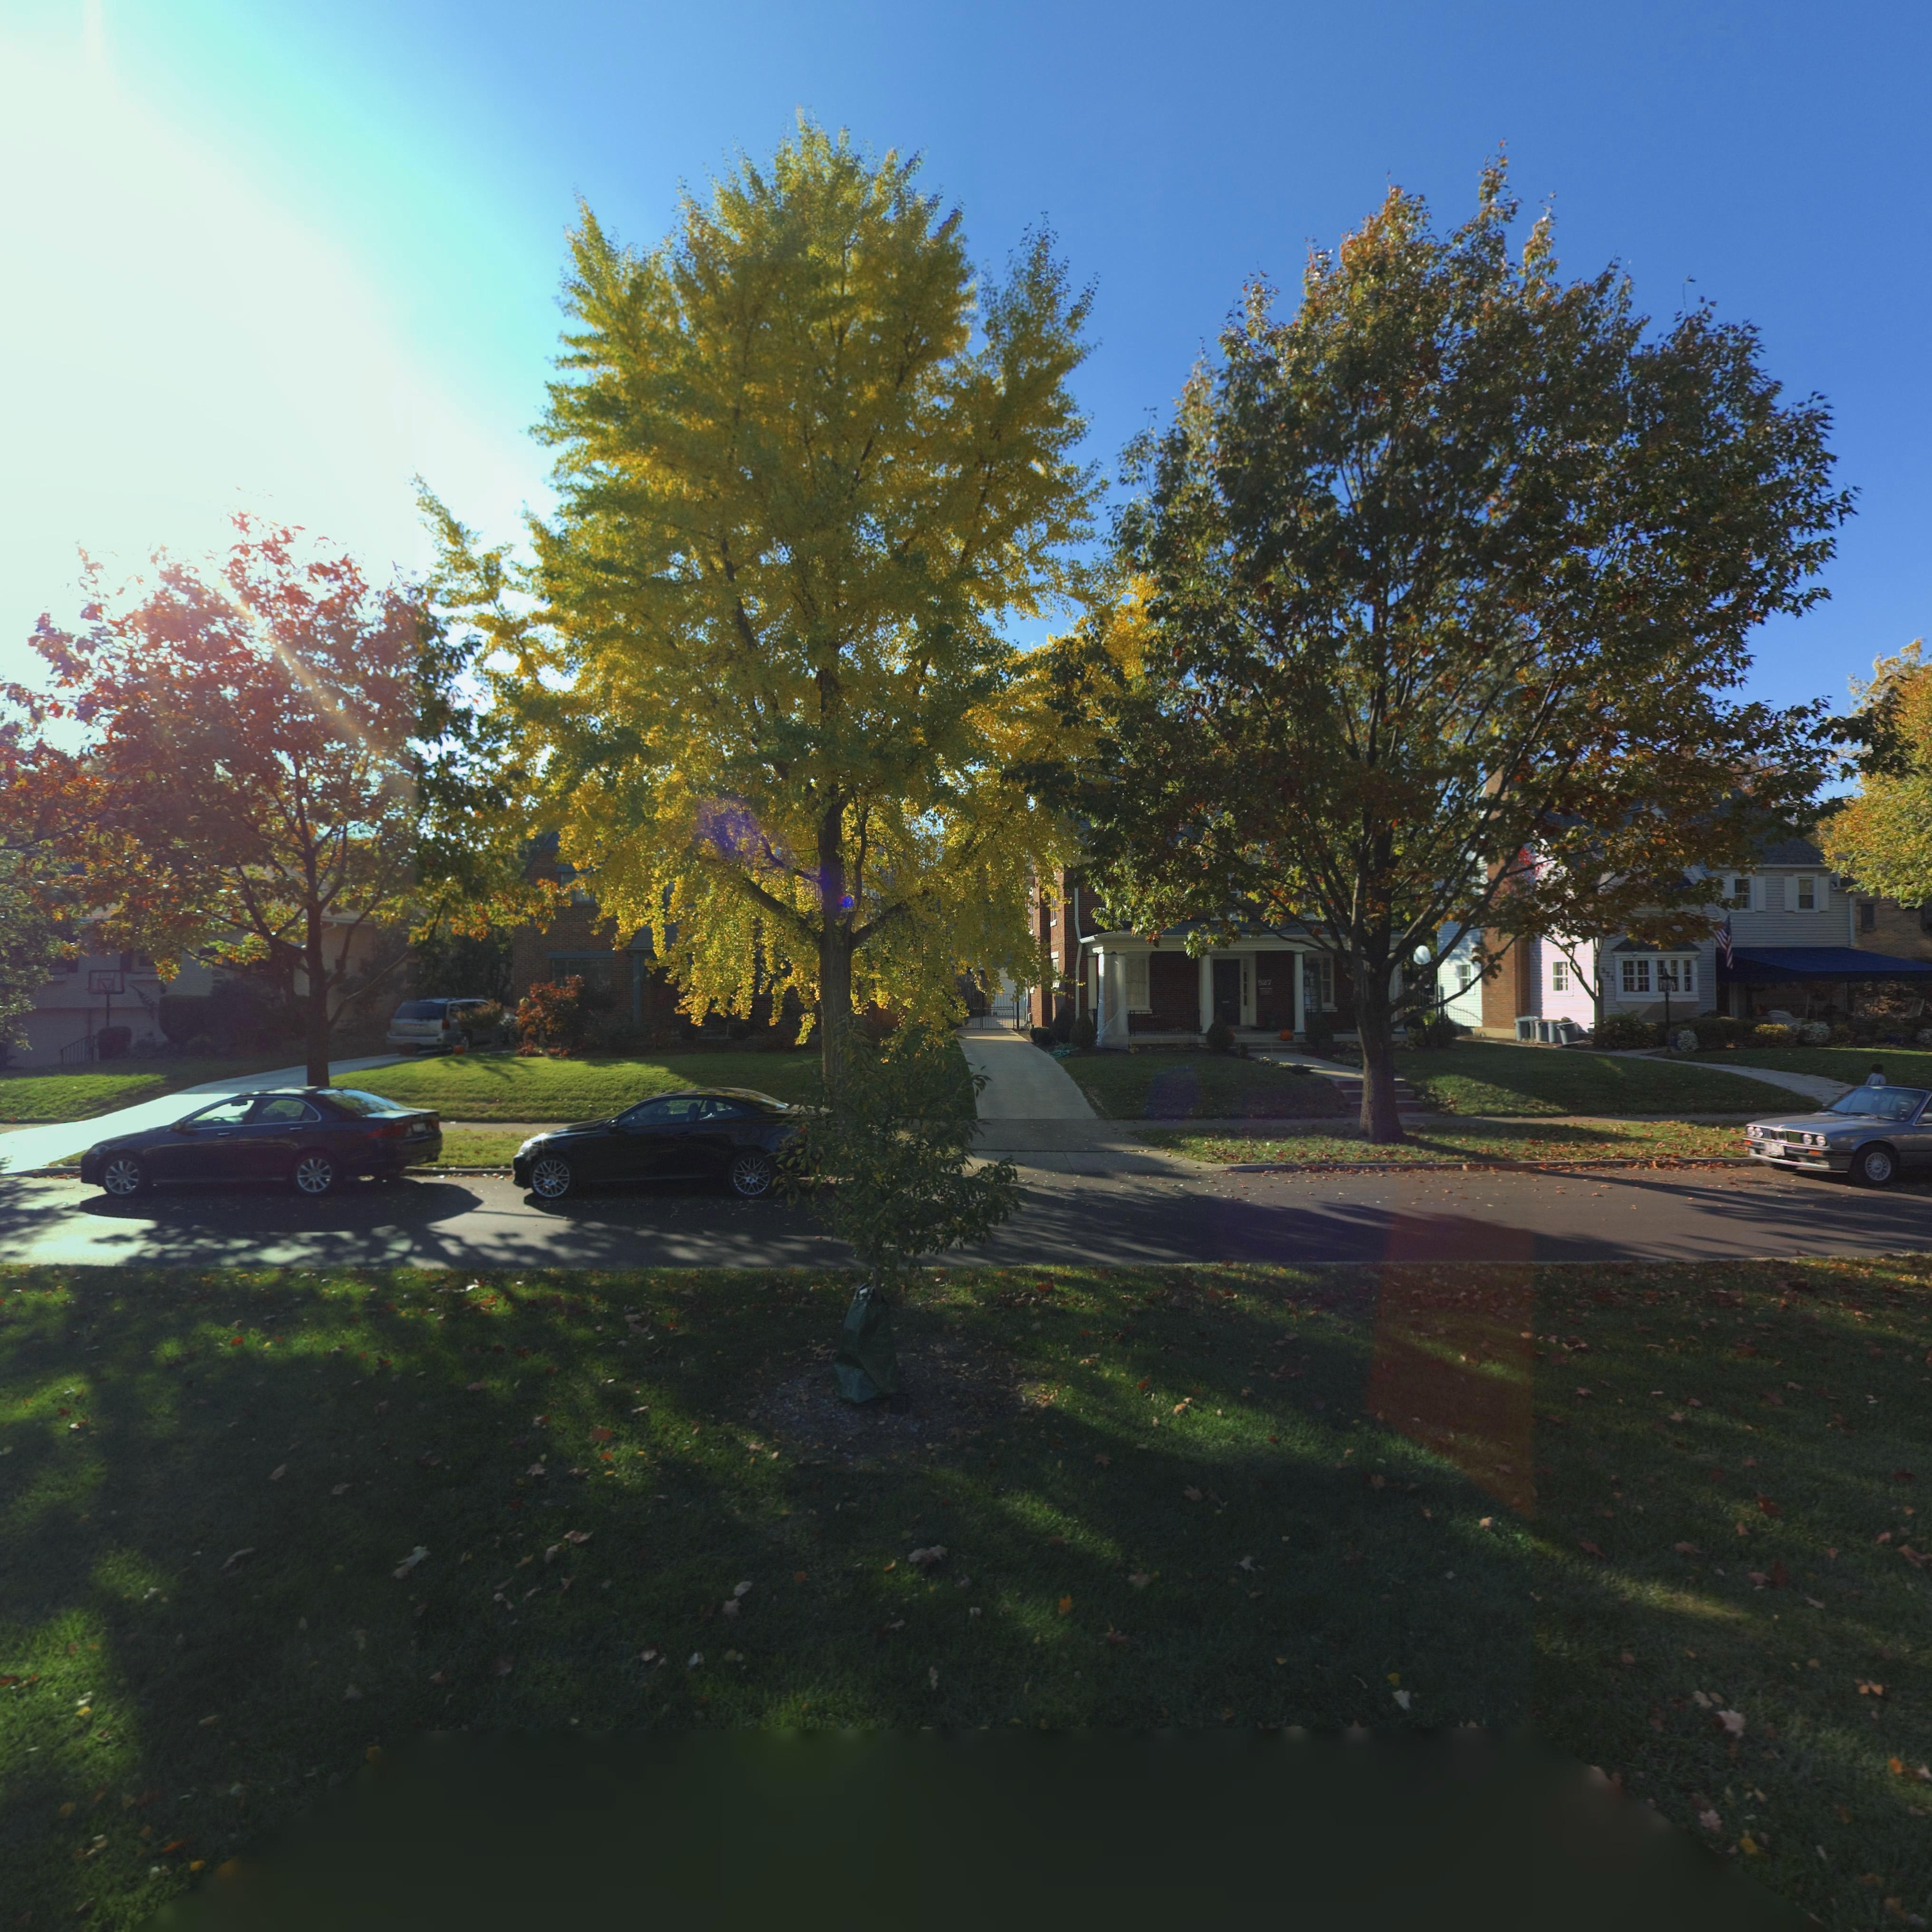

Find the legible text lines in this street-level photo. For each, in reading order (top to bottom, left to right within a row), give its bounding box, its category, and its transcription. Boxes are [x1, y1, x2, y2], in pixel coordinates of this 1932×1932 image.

[1257, 979, 1273, 986] StreetNumber: 527
[1600, 966, 1616, 983] StreetNumber: *21